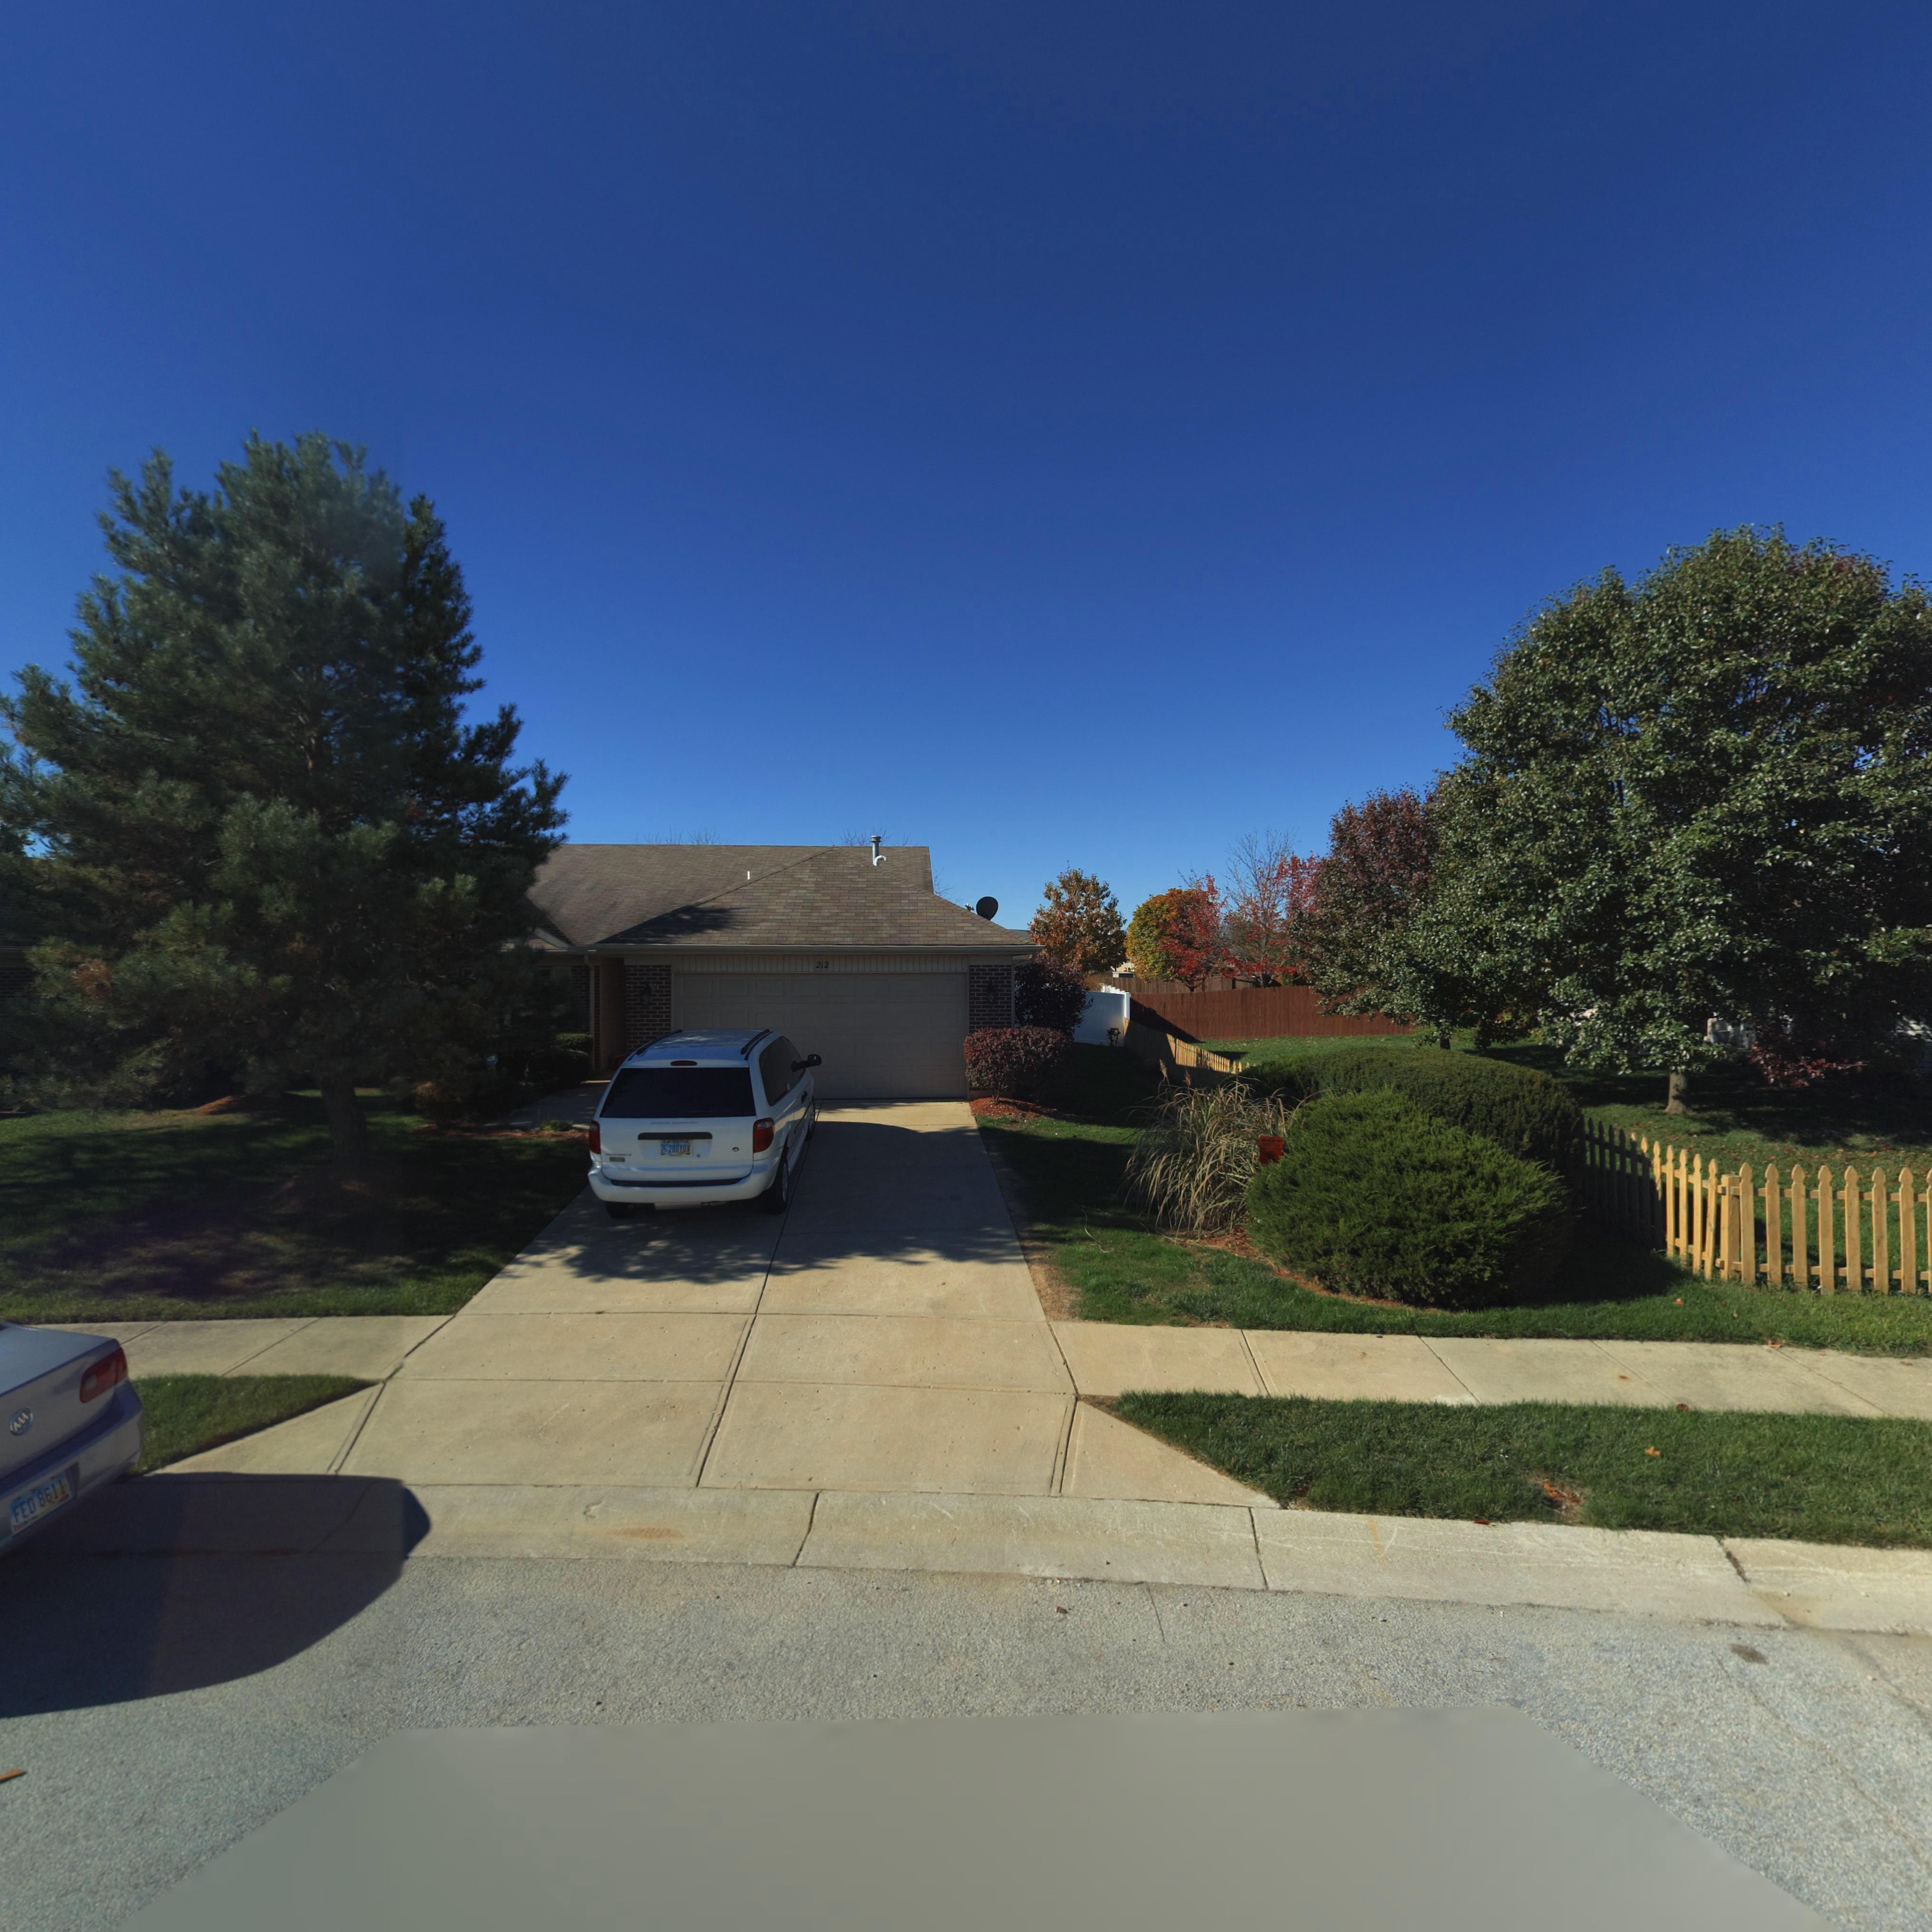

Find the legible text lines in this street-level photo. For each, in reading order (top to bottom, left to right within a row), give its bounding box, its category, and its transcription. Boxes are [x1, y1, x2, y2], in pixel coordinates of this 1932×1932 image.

[815, 961, 829, 969] StreetNumber: 212
[667, 1143, 693, 1154] None: *00yoy